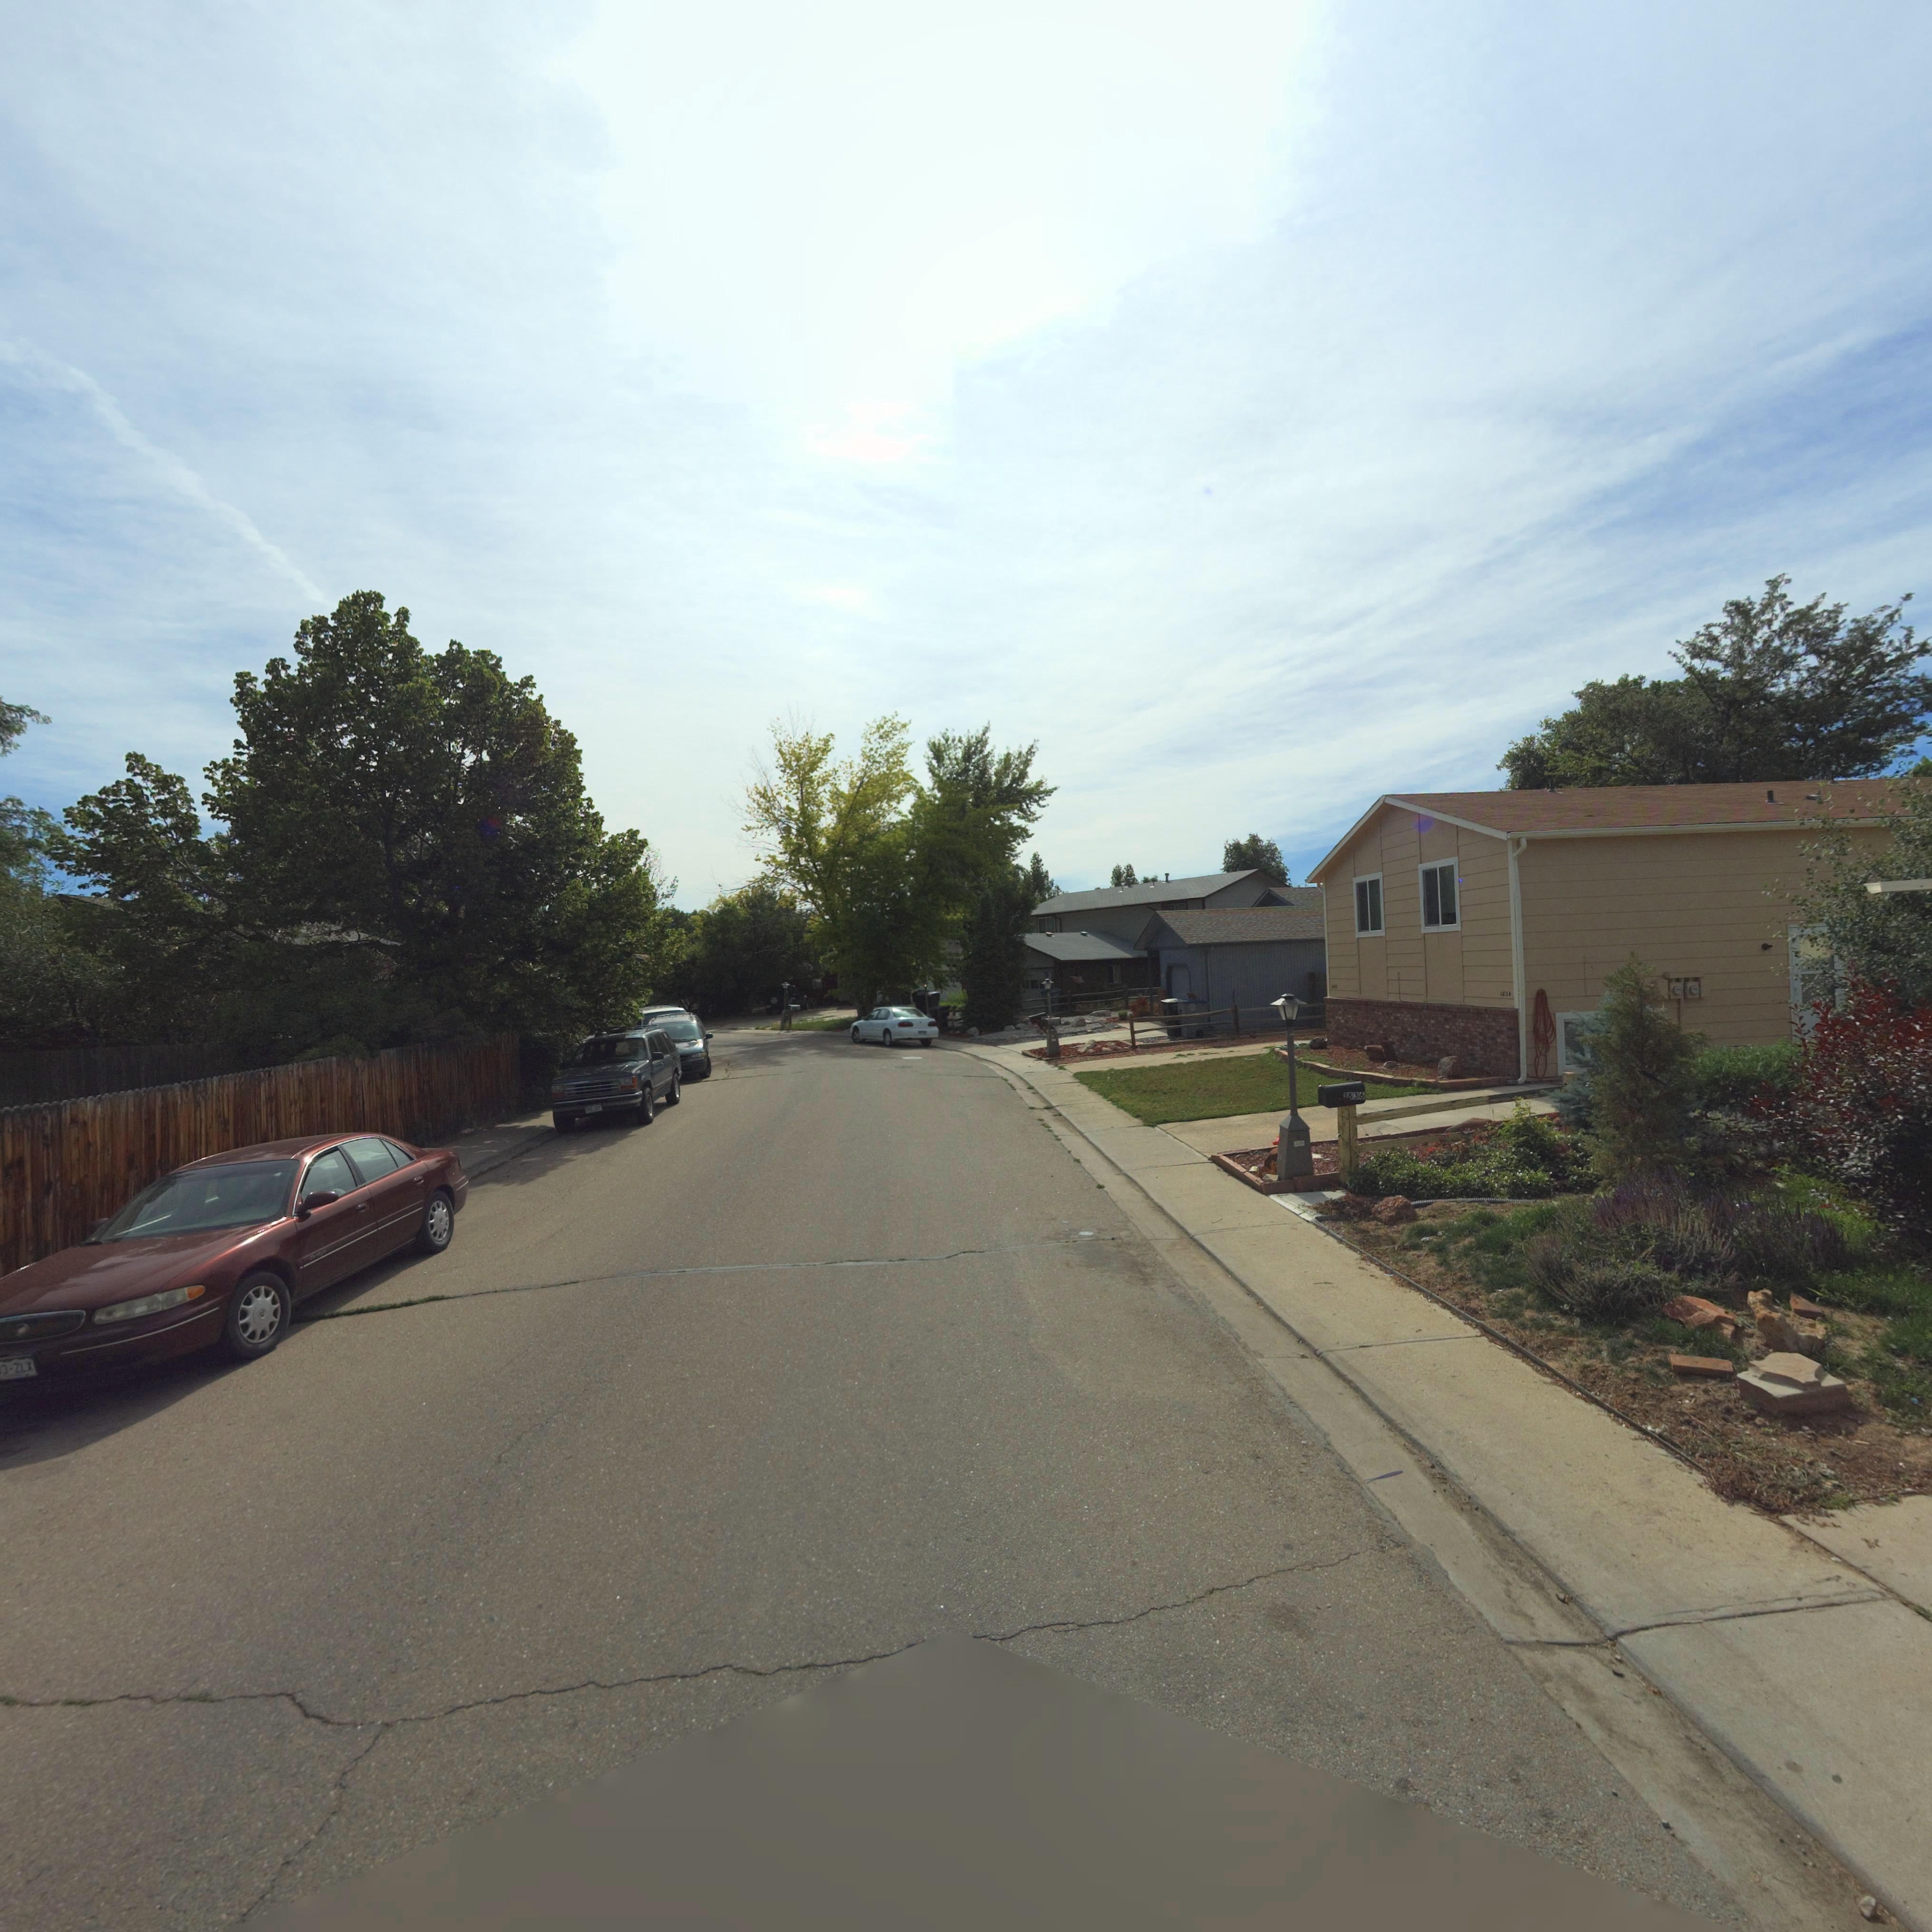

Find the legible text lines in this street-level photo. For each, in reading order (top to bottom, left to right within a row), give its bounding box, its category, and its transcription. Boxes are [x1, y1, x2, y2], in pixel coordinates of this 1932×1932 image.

[1500, 991, 1511, 997] StreetNumber: 1834
[1343, 1092, 1364, 1100] StreetNumber: 1836